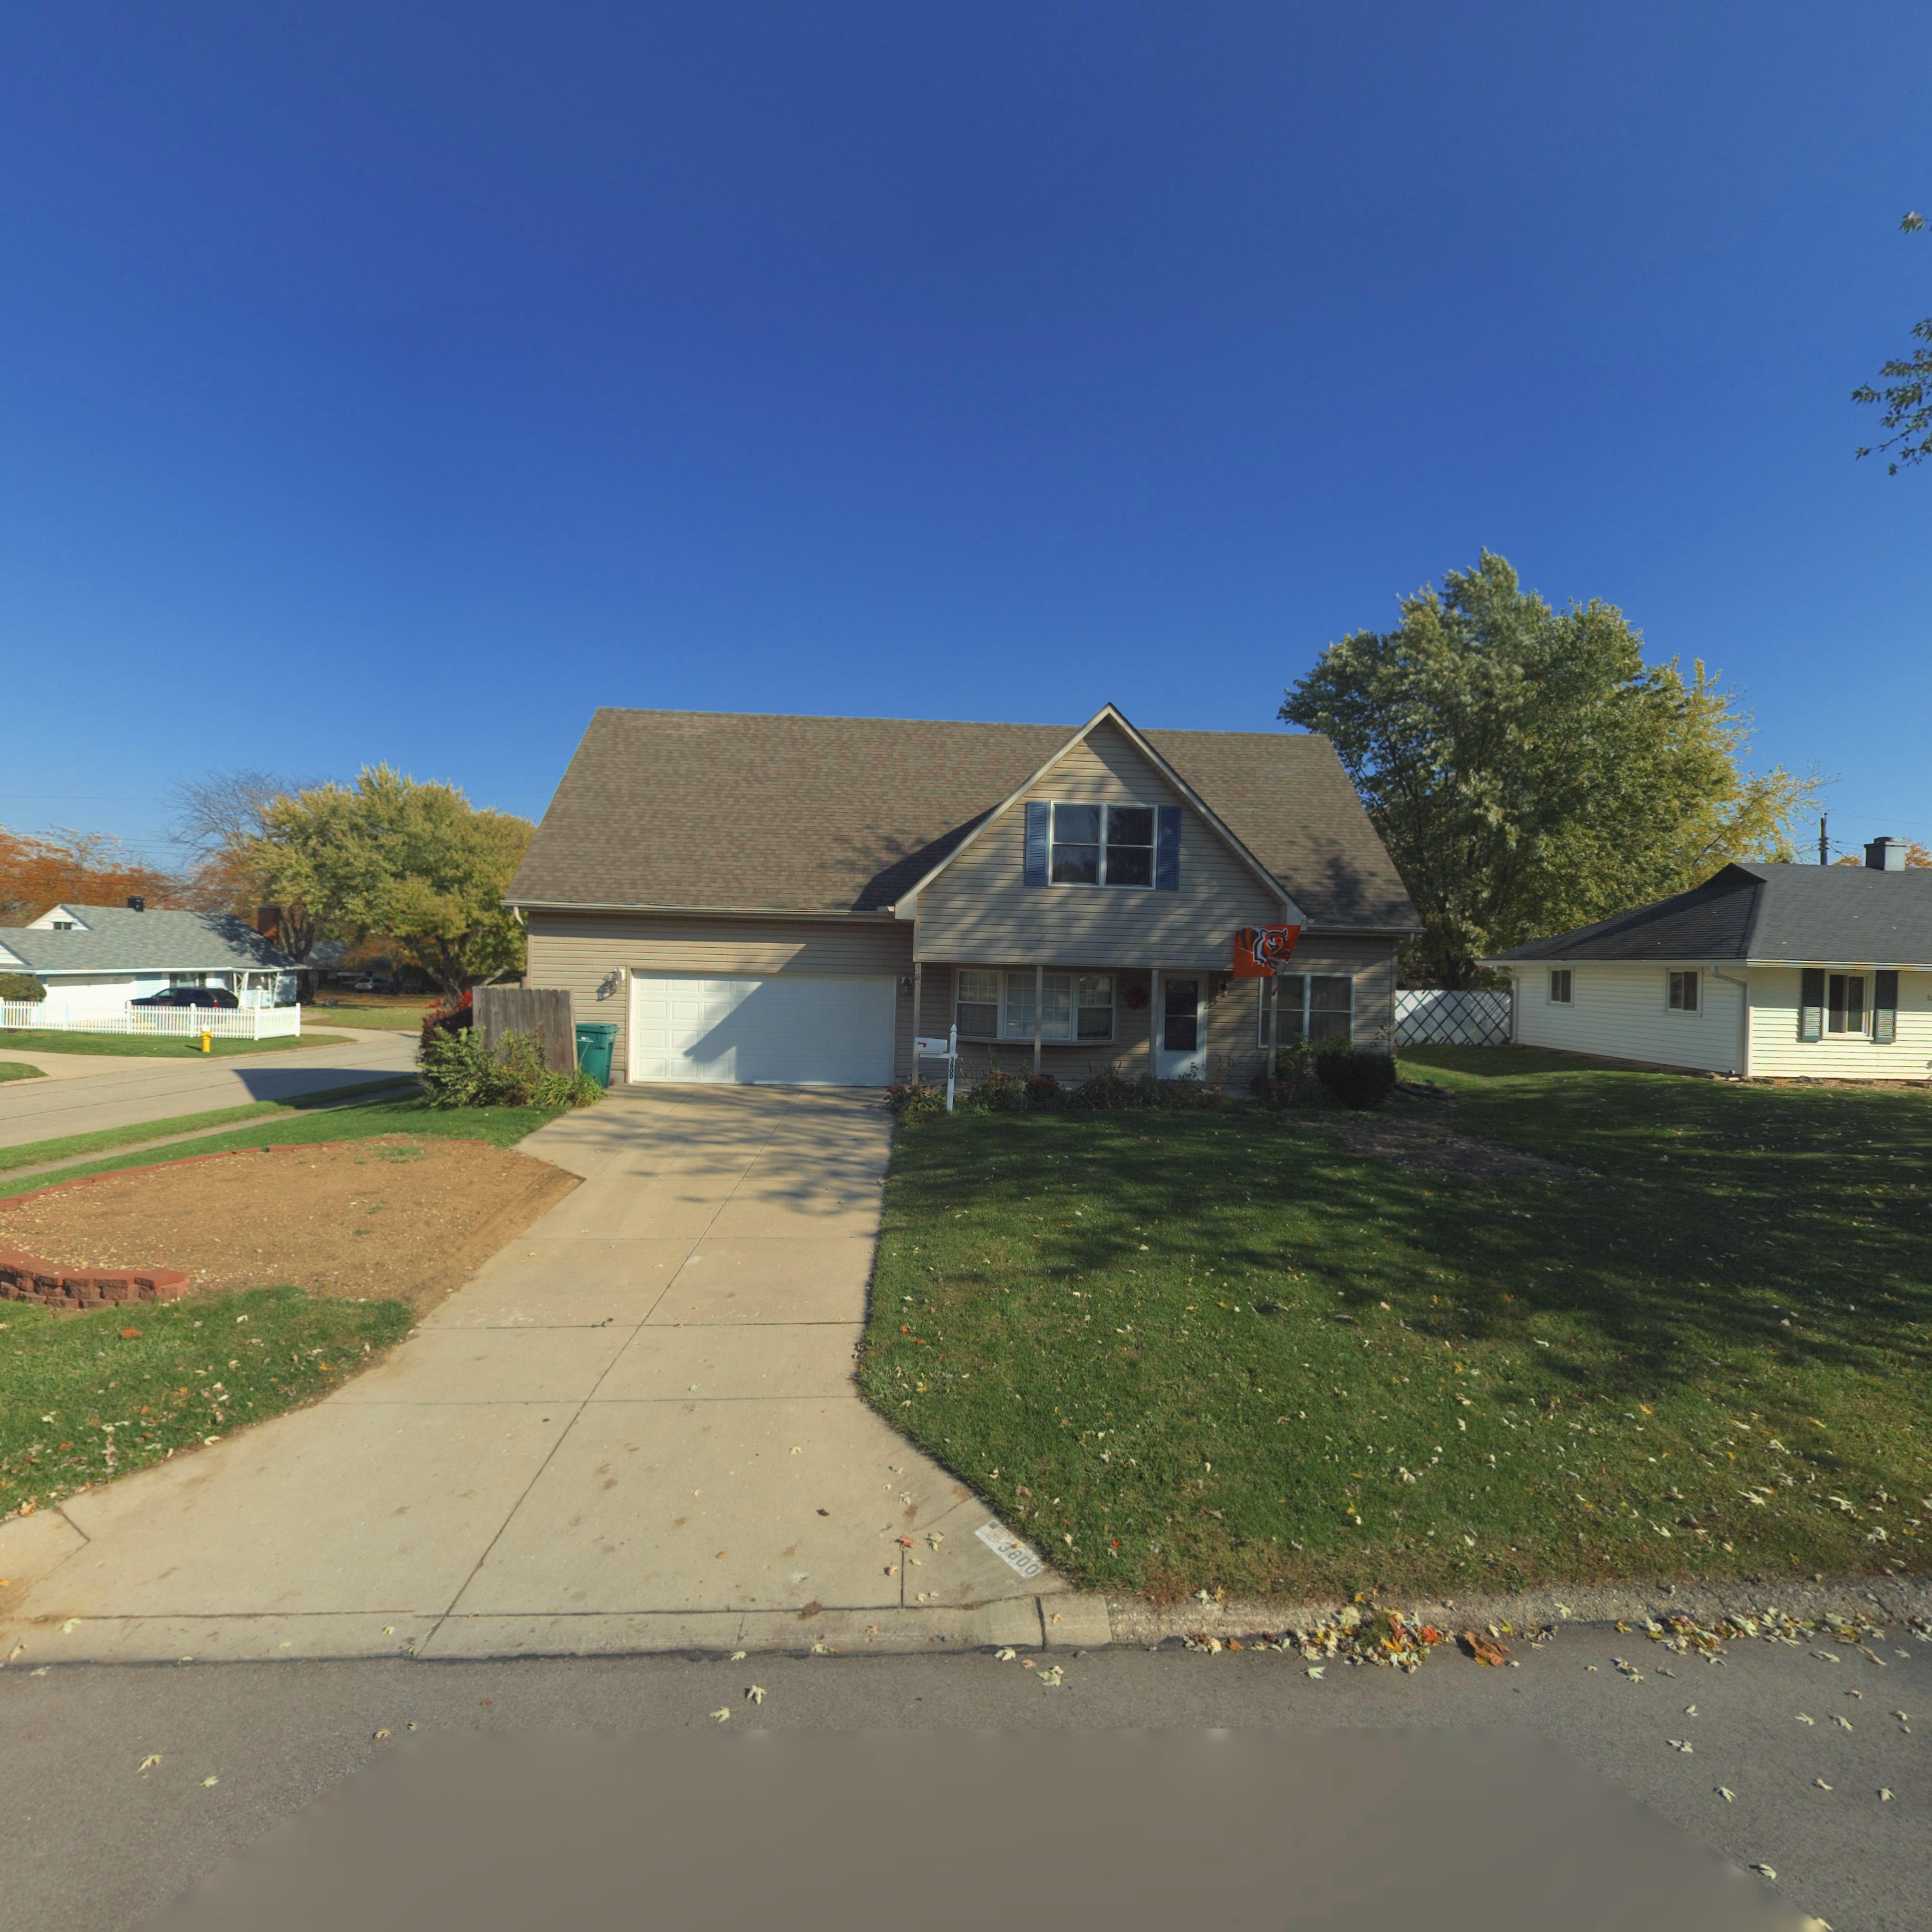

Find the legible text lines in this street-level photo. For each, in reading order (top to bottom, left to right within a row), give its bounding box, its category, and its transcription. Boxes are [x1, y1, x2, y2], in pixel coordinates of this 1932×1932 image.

[914, 964, 921, 1001] StreetNumber: 3800
[948, 1054, 956, 1081] StreetNumber: 3800